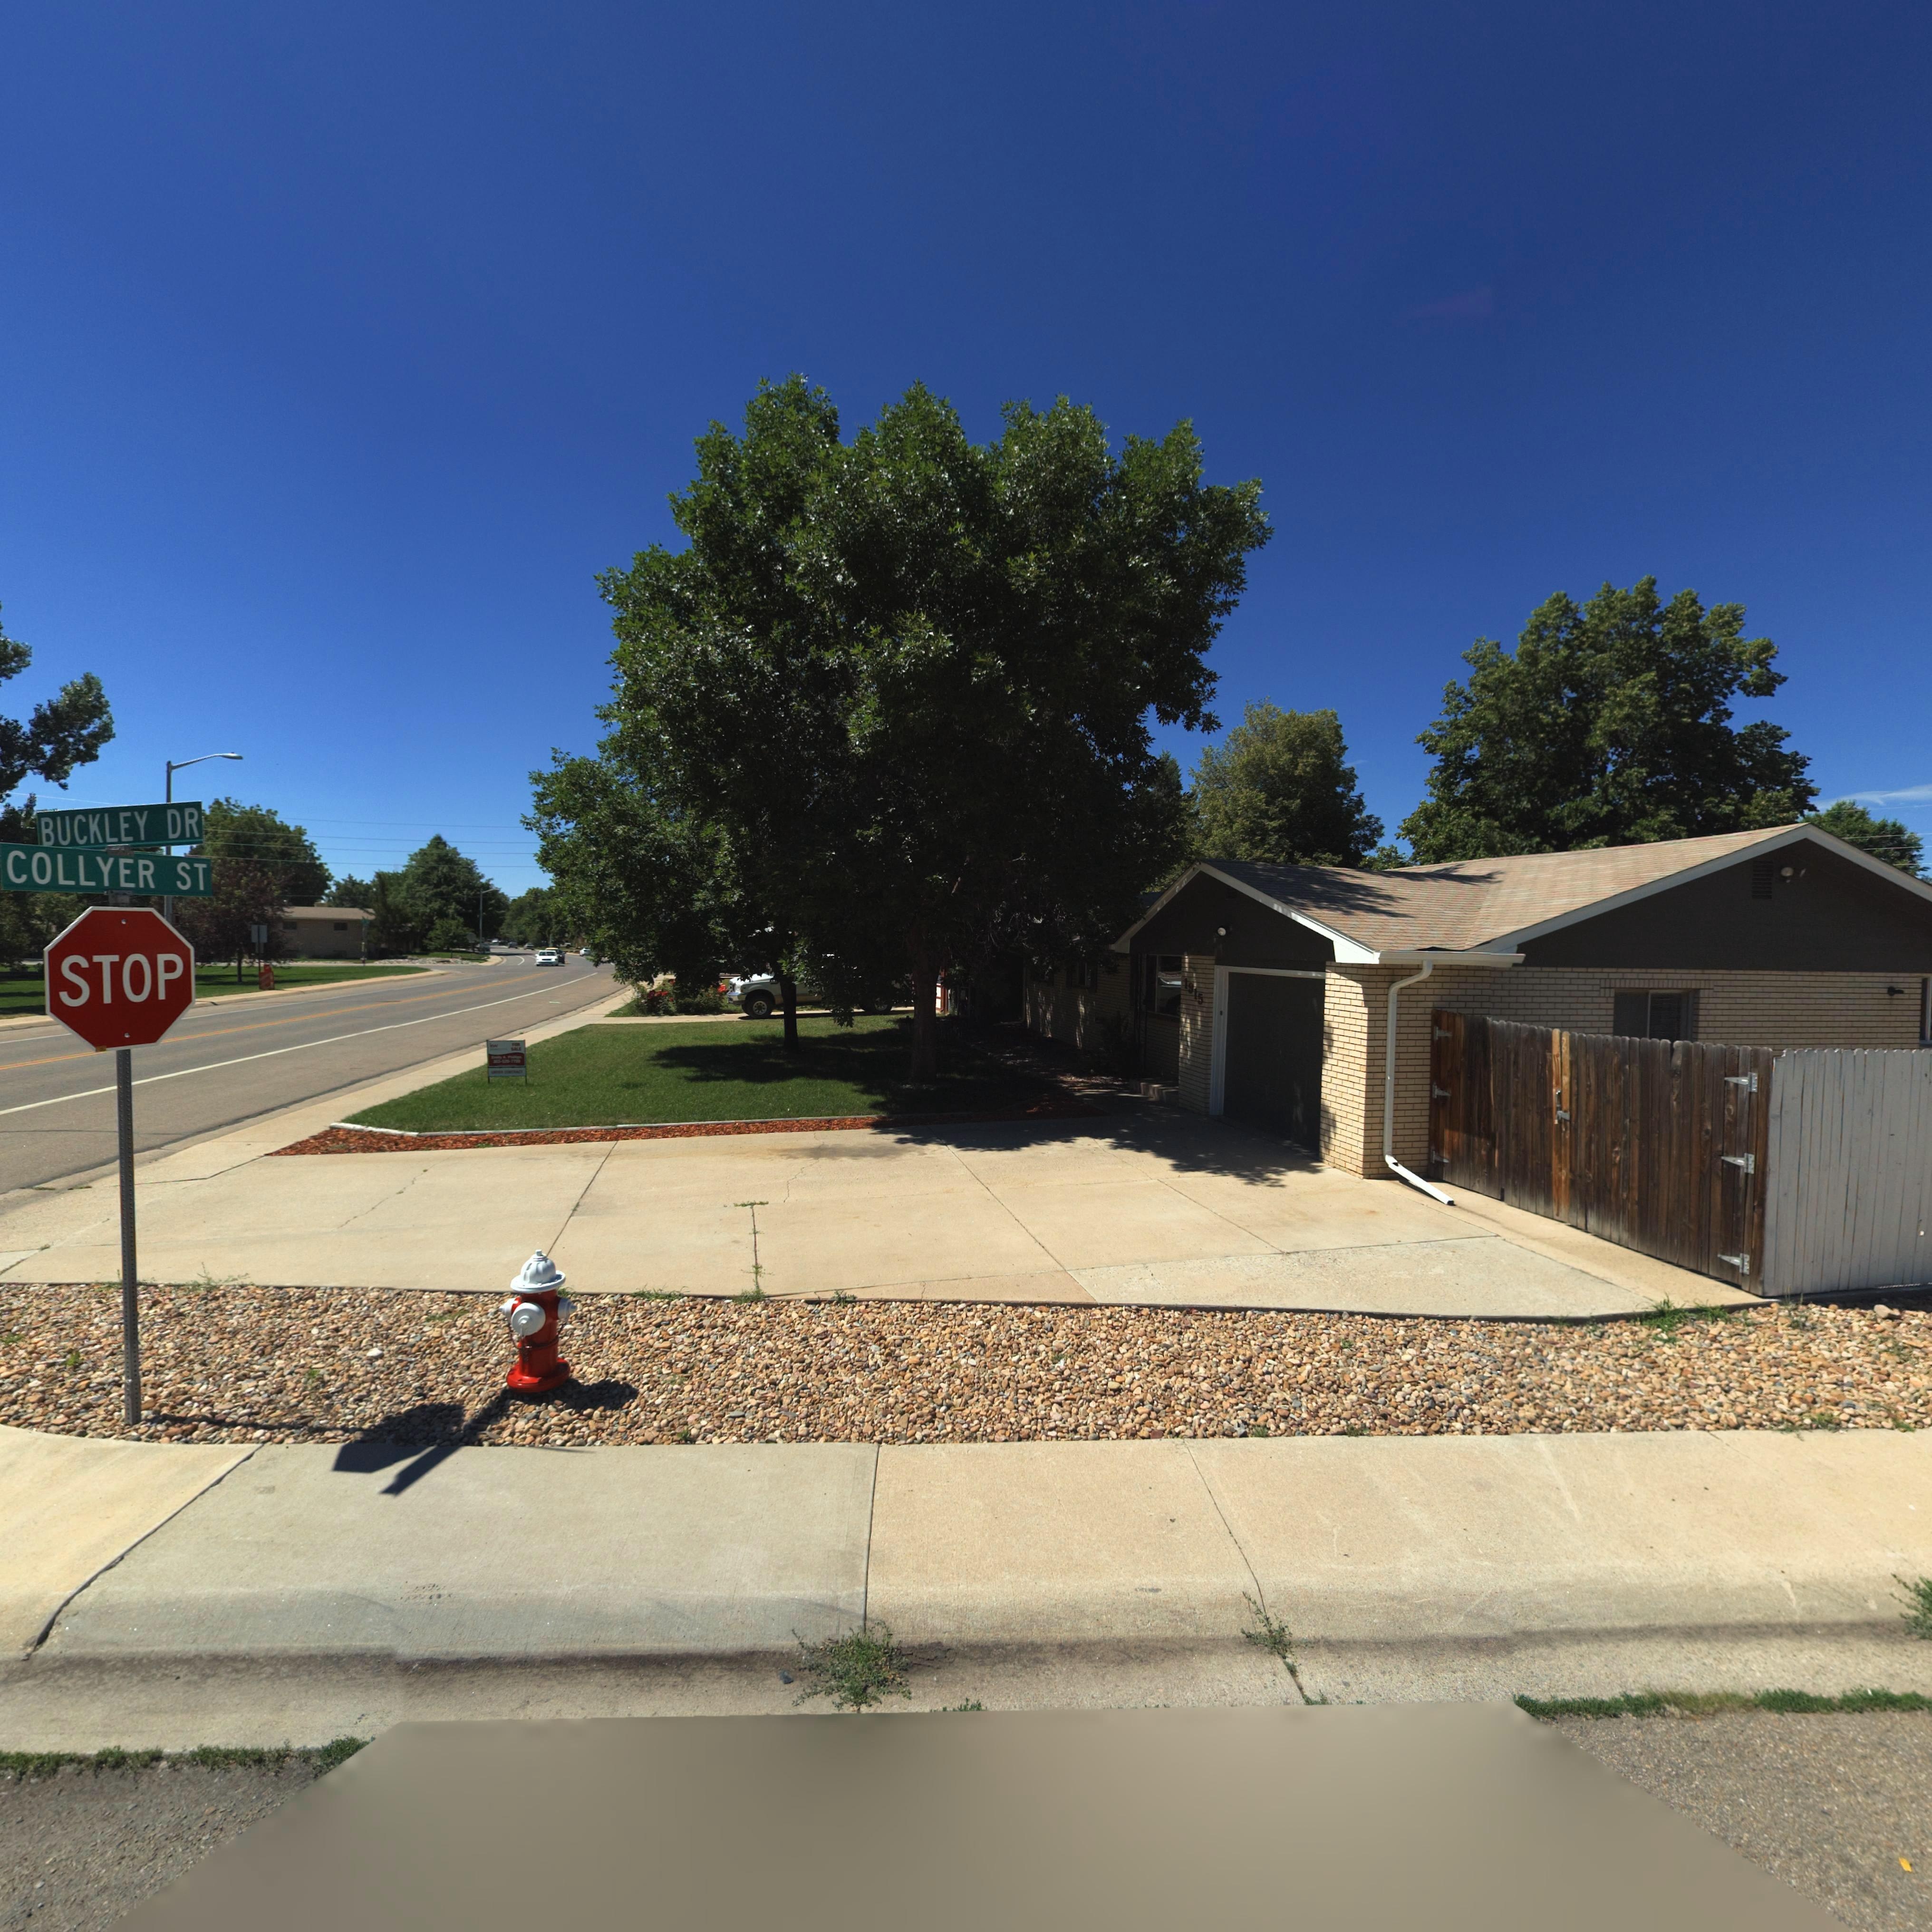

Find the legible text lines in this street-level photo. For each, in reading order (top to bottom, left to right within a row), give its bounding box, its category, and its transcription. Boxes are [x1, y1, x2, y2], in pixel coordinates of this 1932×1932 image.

[40, 807, 199, 846] BusinessName: BUCKLEY DR
[6, 849, 207, 890] BusinessName: COLLYER ST
[1183, 976, 1204, 1005] StreetNumber: 1915